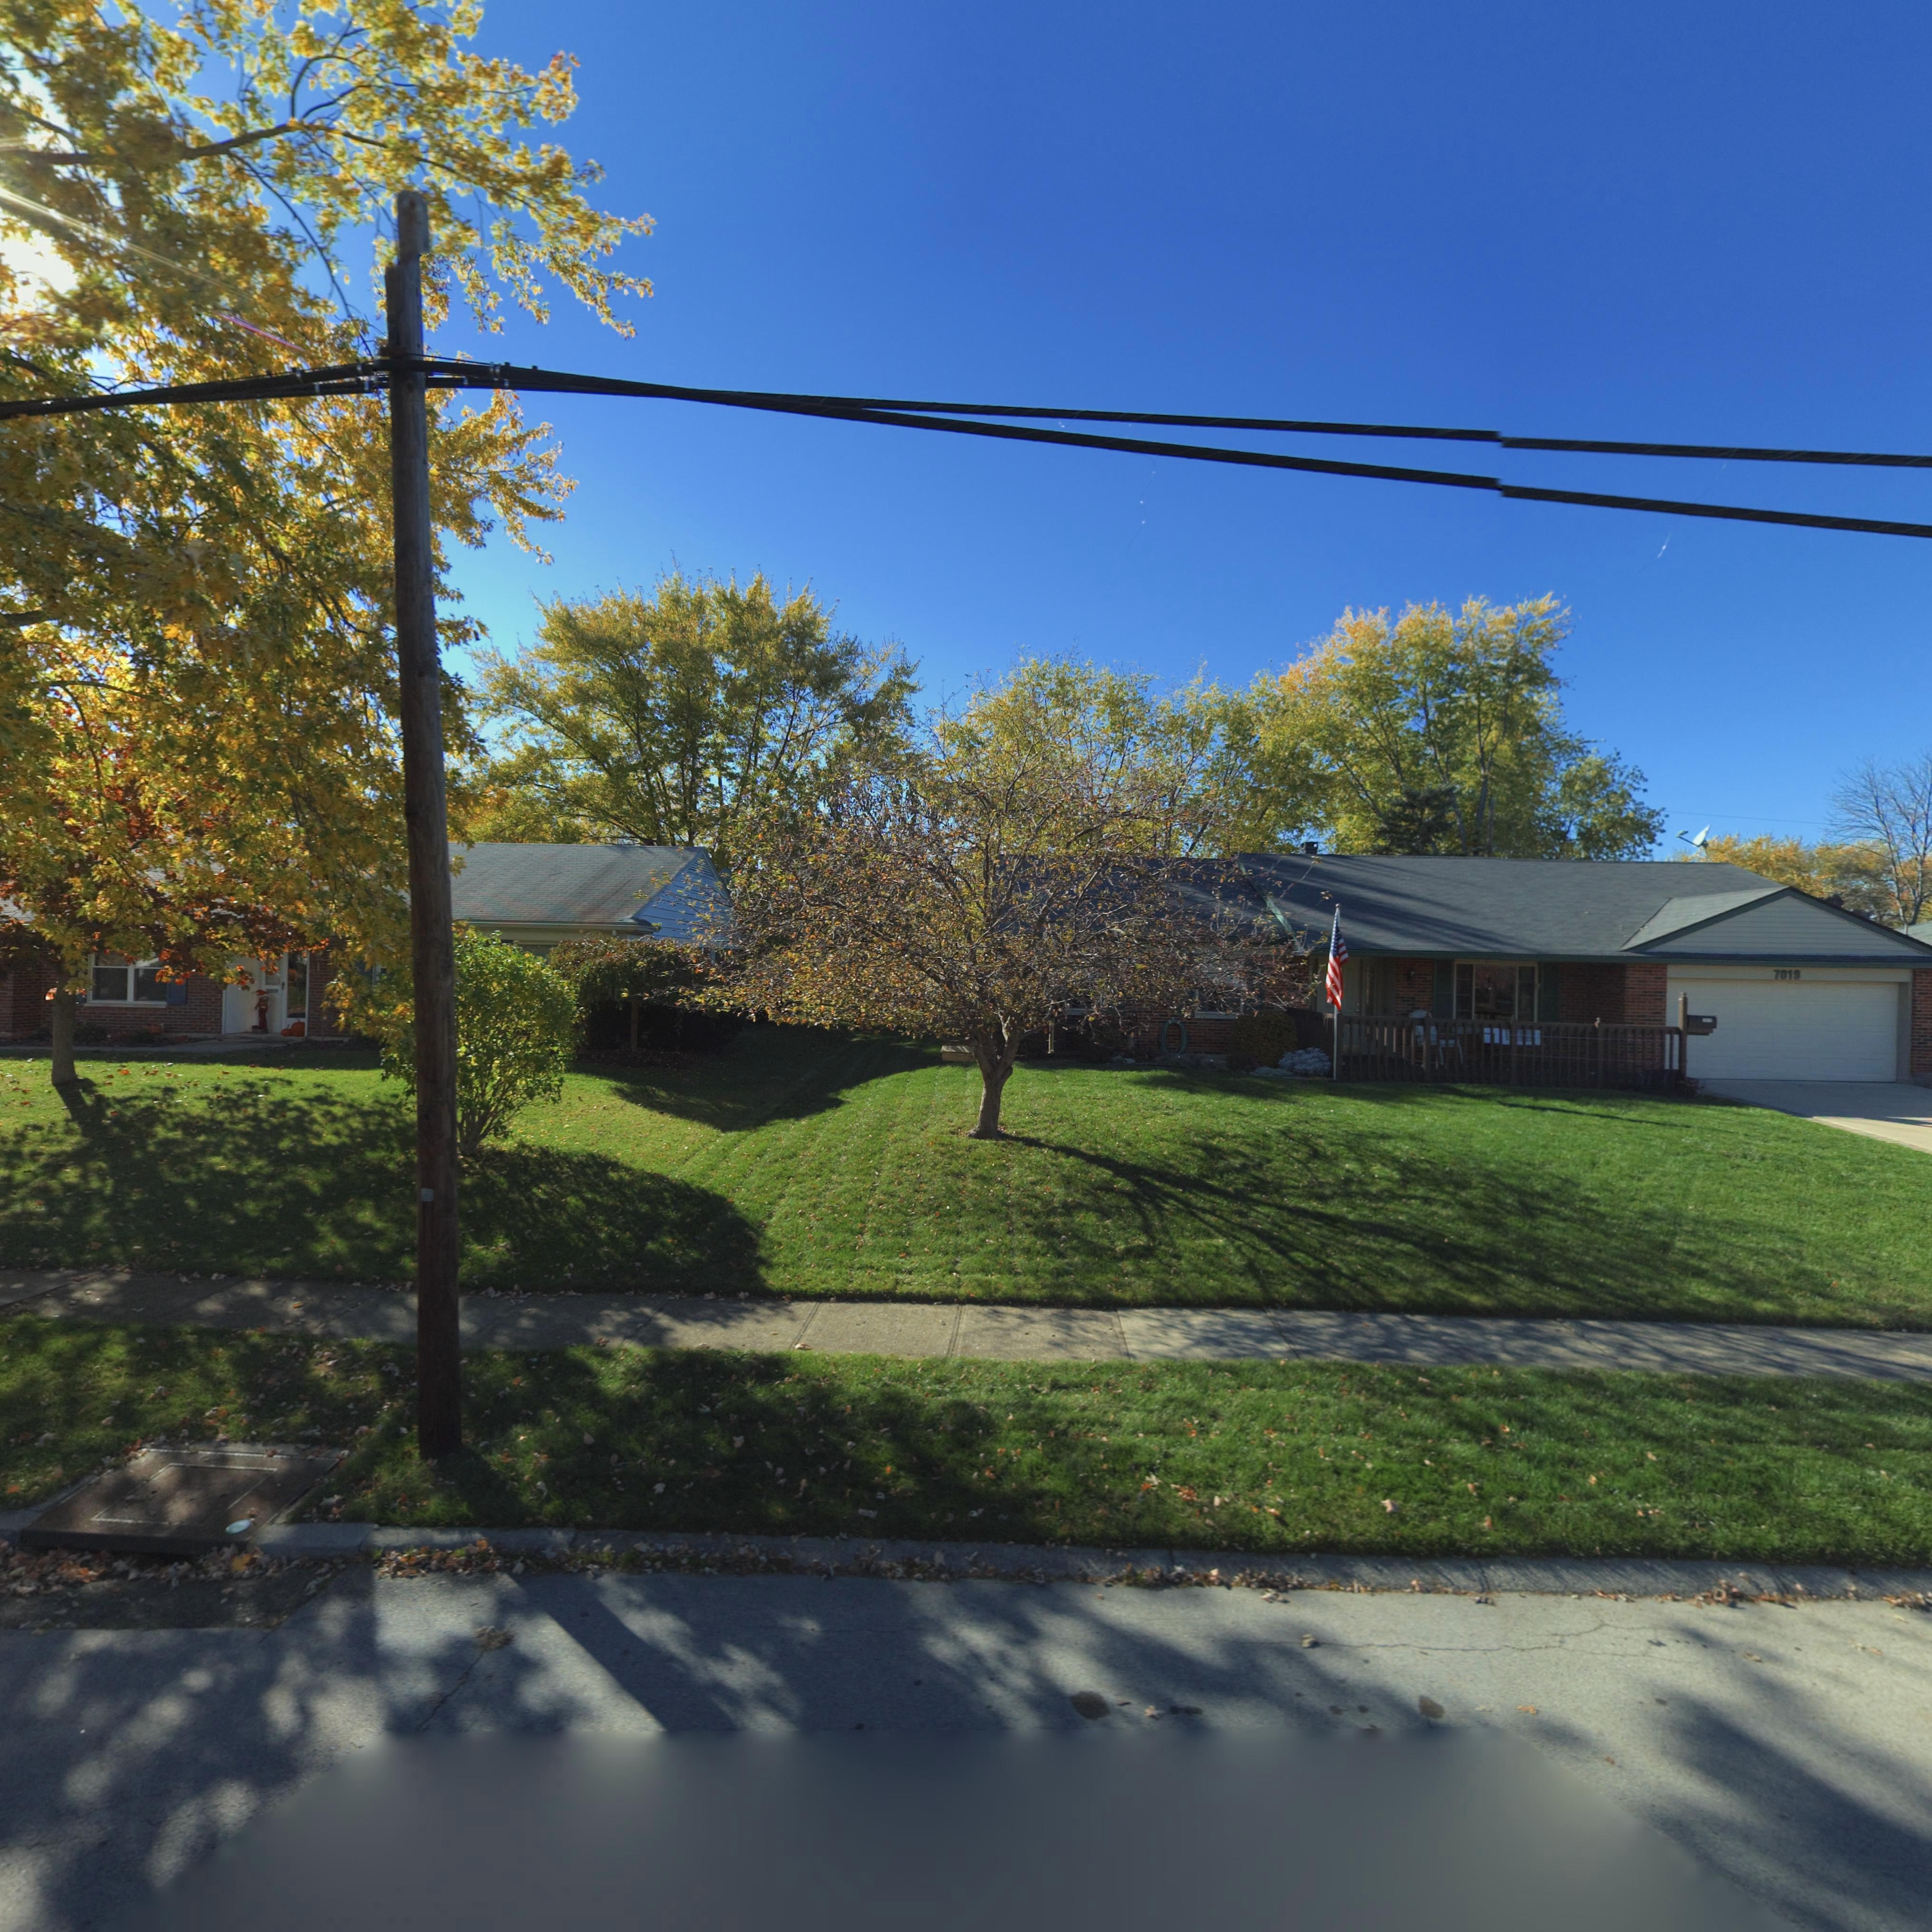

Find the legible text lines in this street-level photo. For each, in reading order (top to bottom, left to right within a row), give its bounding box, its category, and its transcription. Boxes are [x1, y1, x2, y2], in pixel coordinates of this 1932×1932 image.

[1773, 969, 1801, 981] StreetNumber: 7019